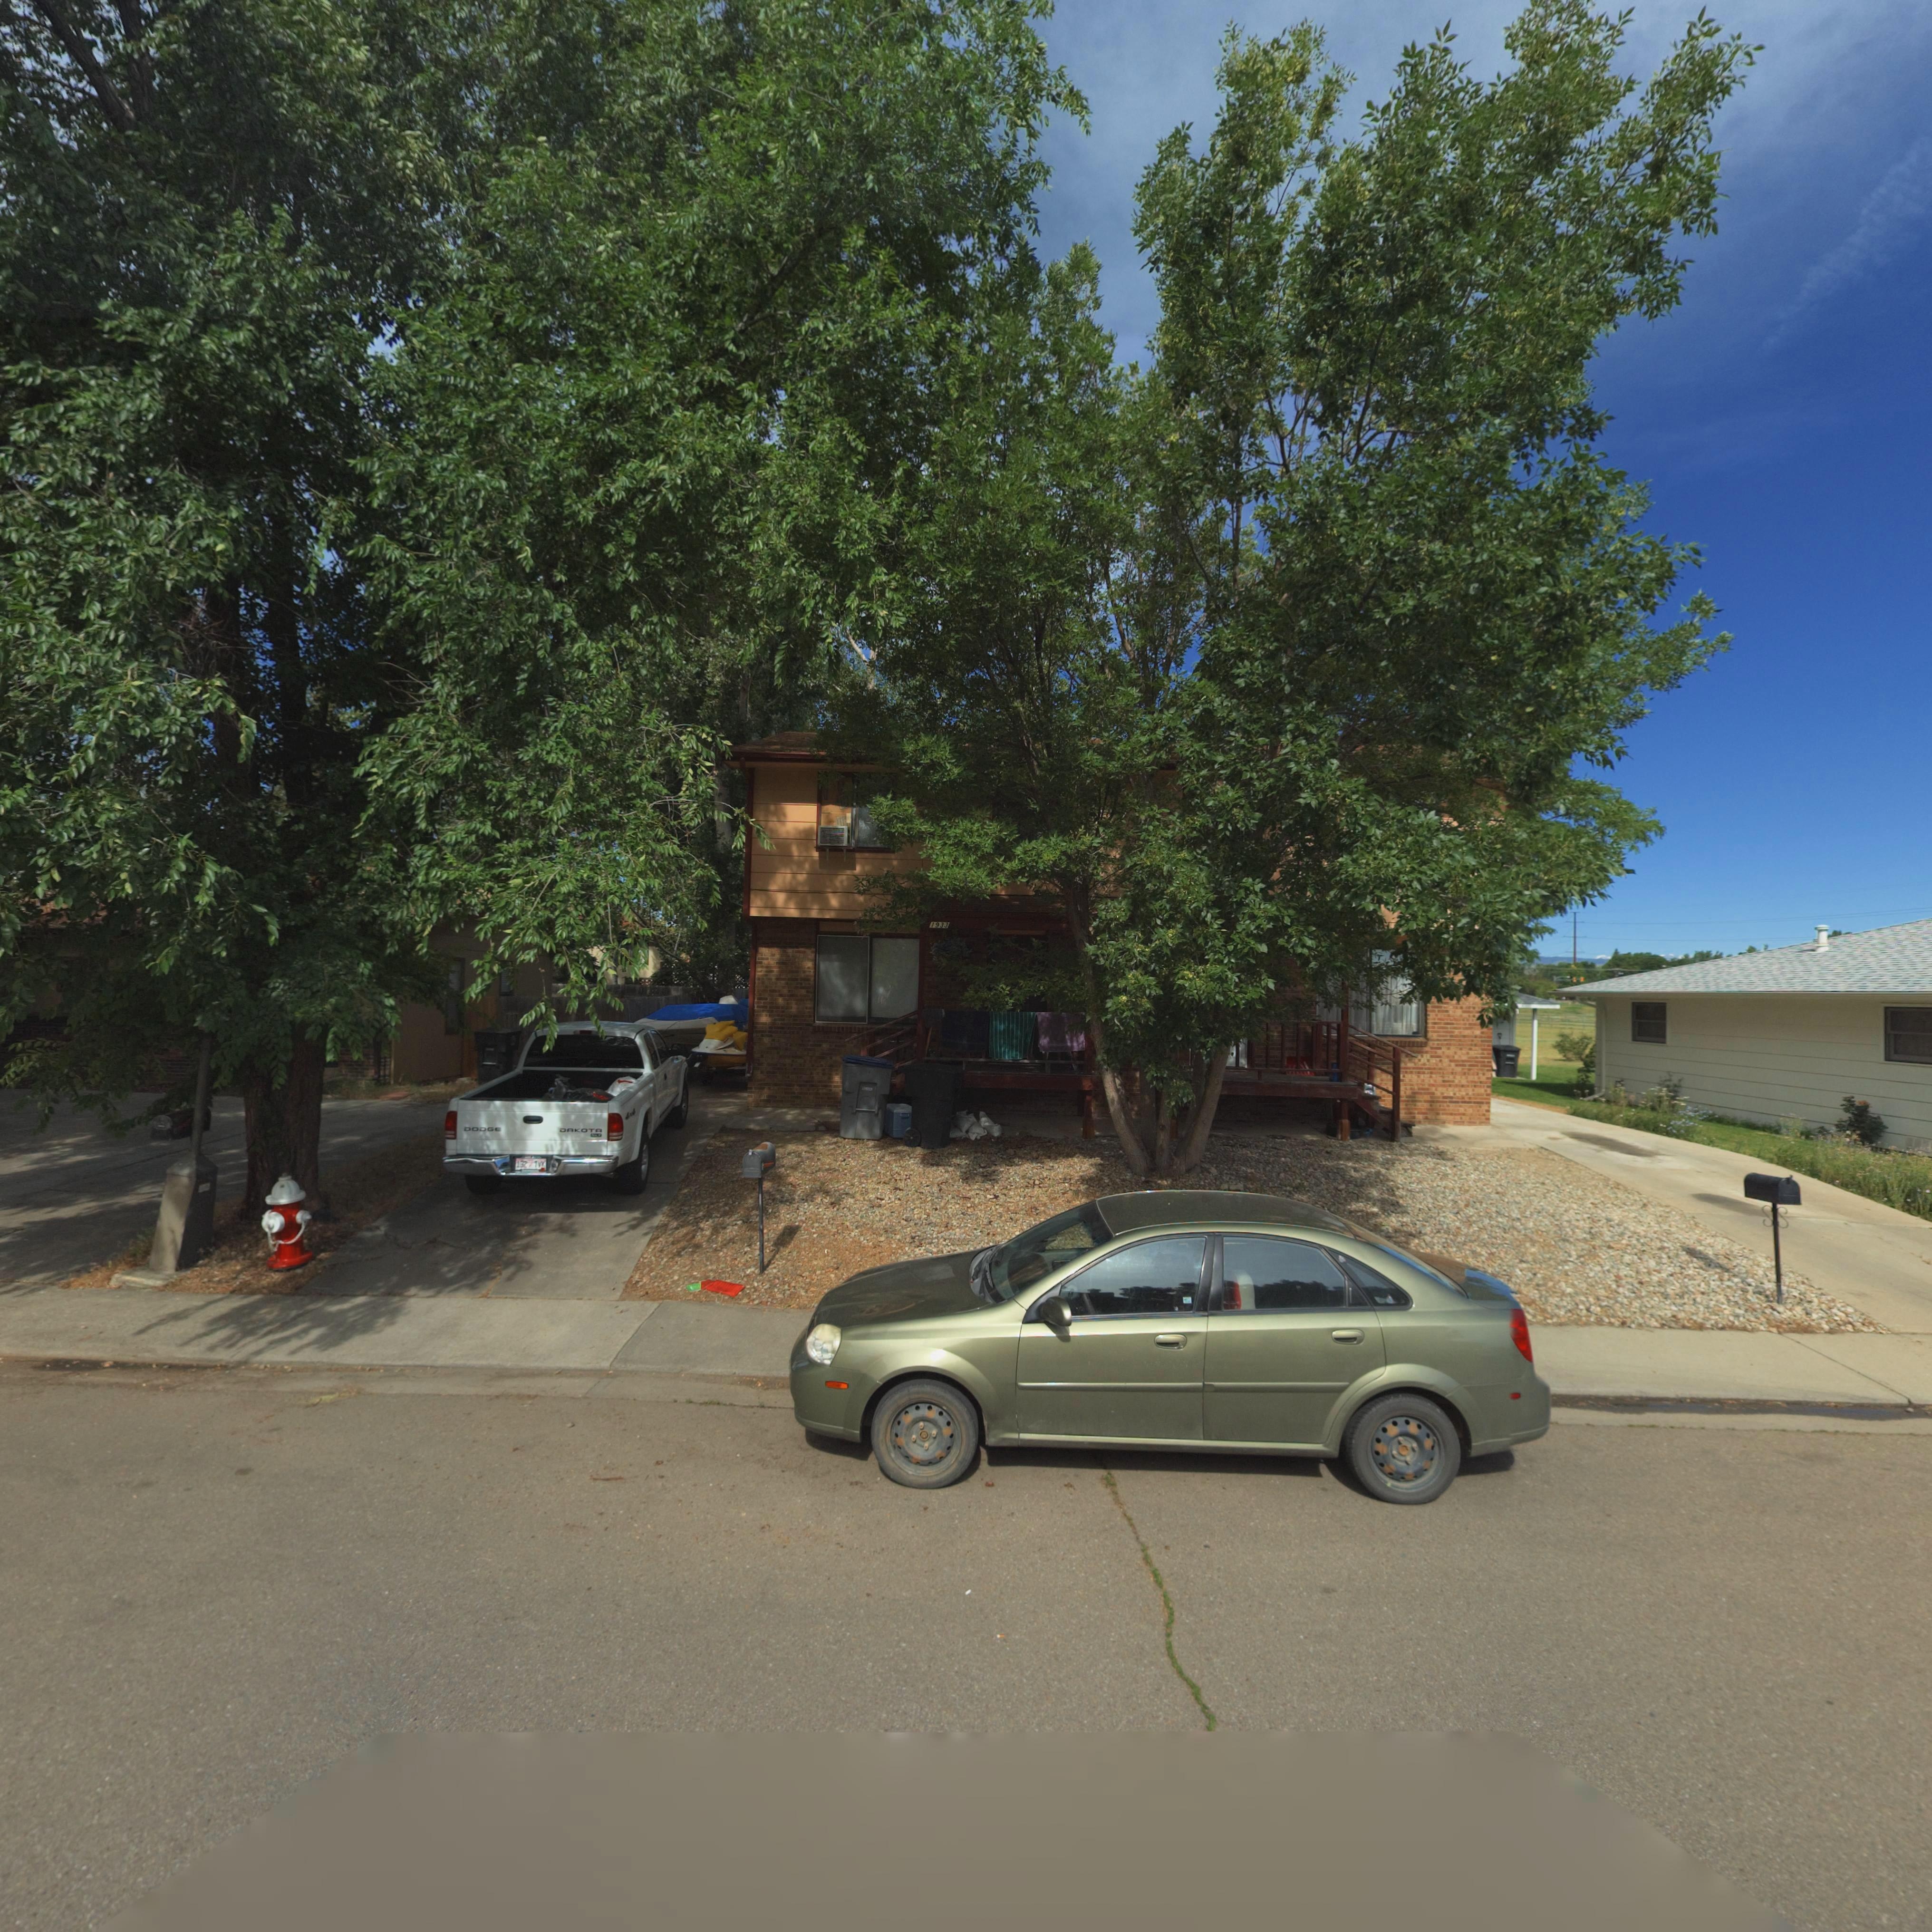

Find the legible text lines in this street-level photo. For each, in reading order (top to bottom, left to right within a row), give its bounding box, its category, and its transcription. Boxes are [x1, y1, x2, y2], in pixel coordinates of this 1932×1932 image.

[930, 921, 949, 928] StreetNumber: 1933